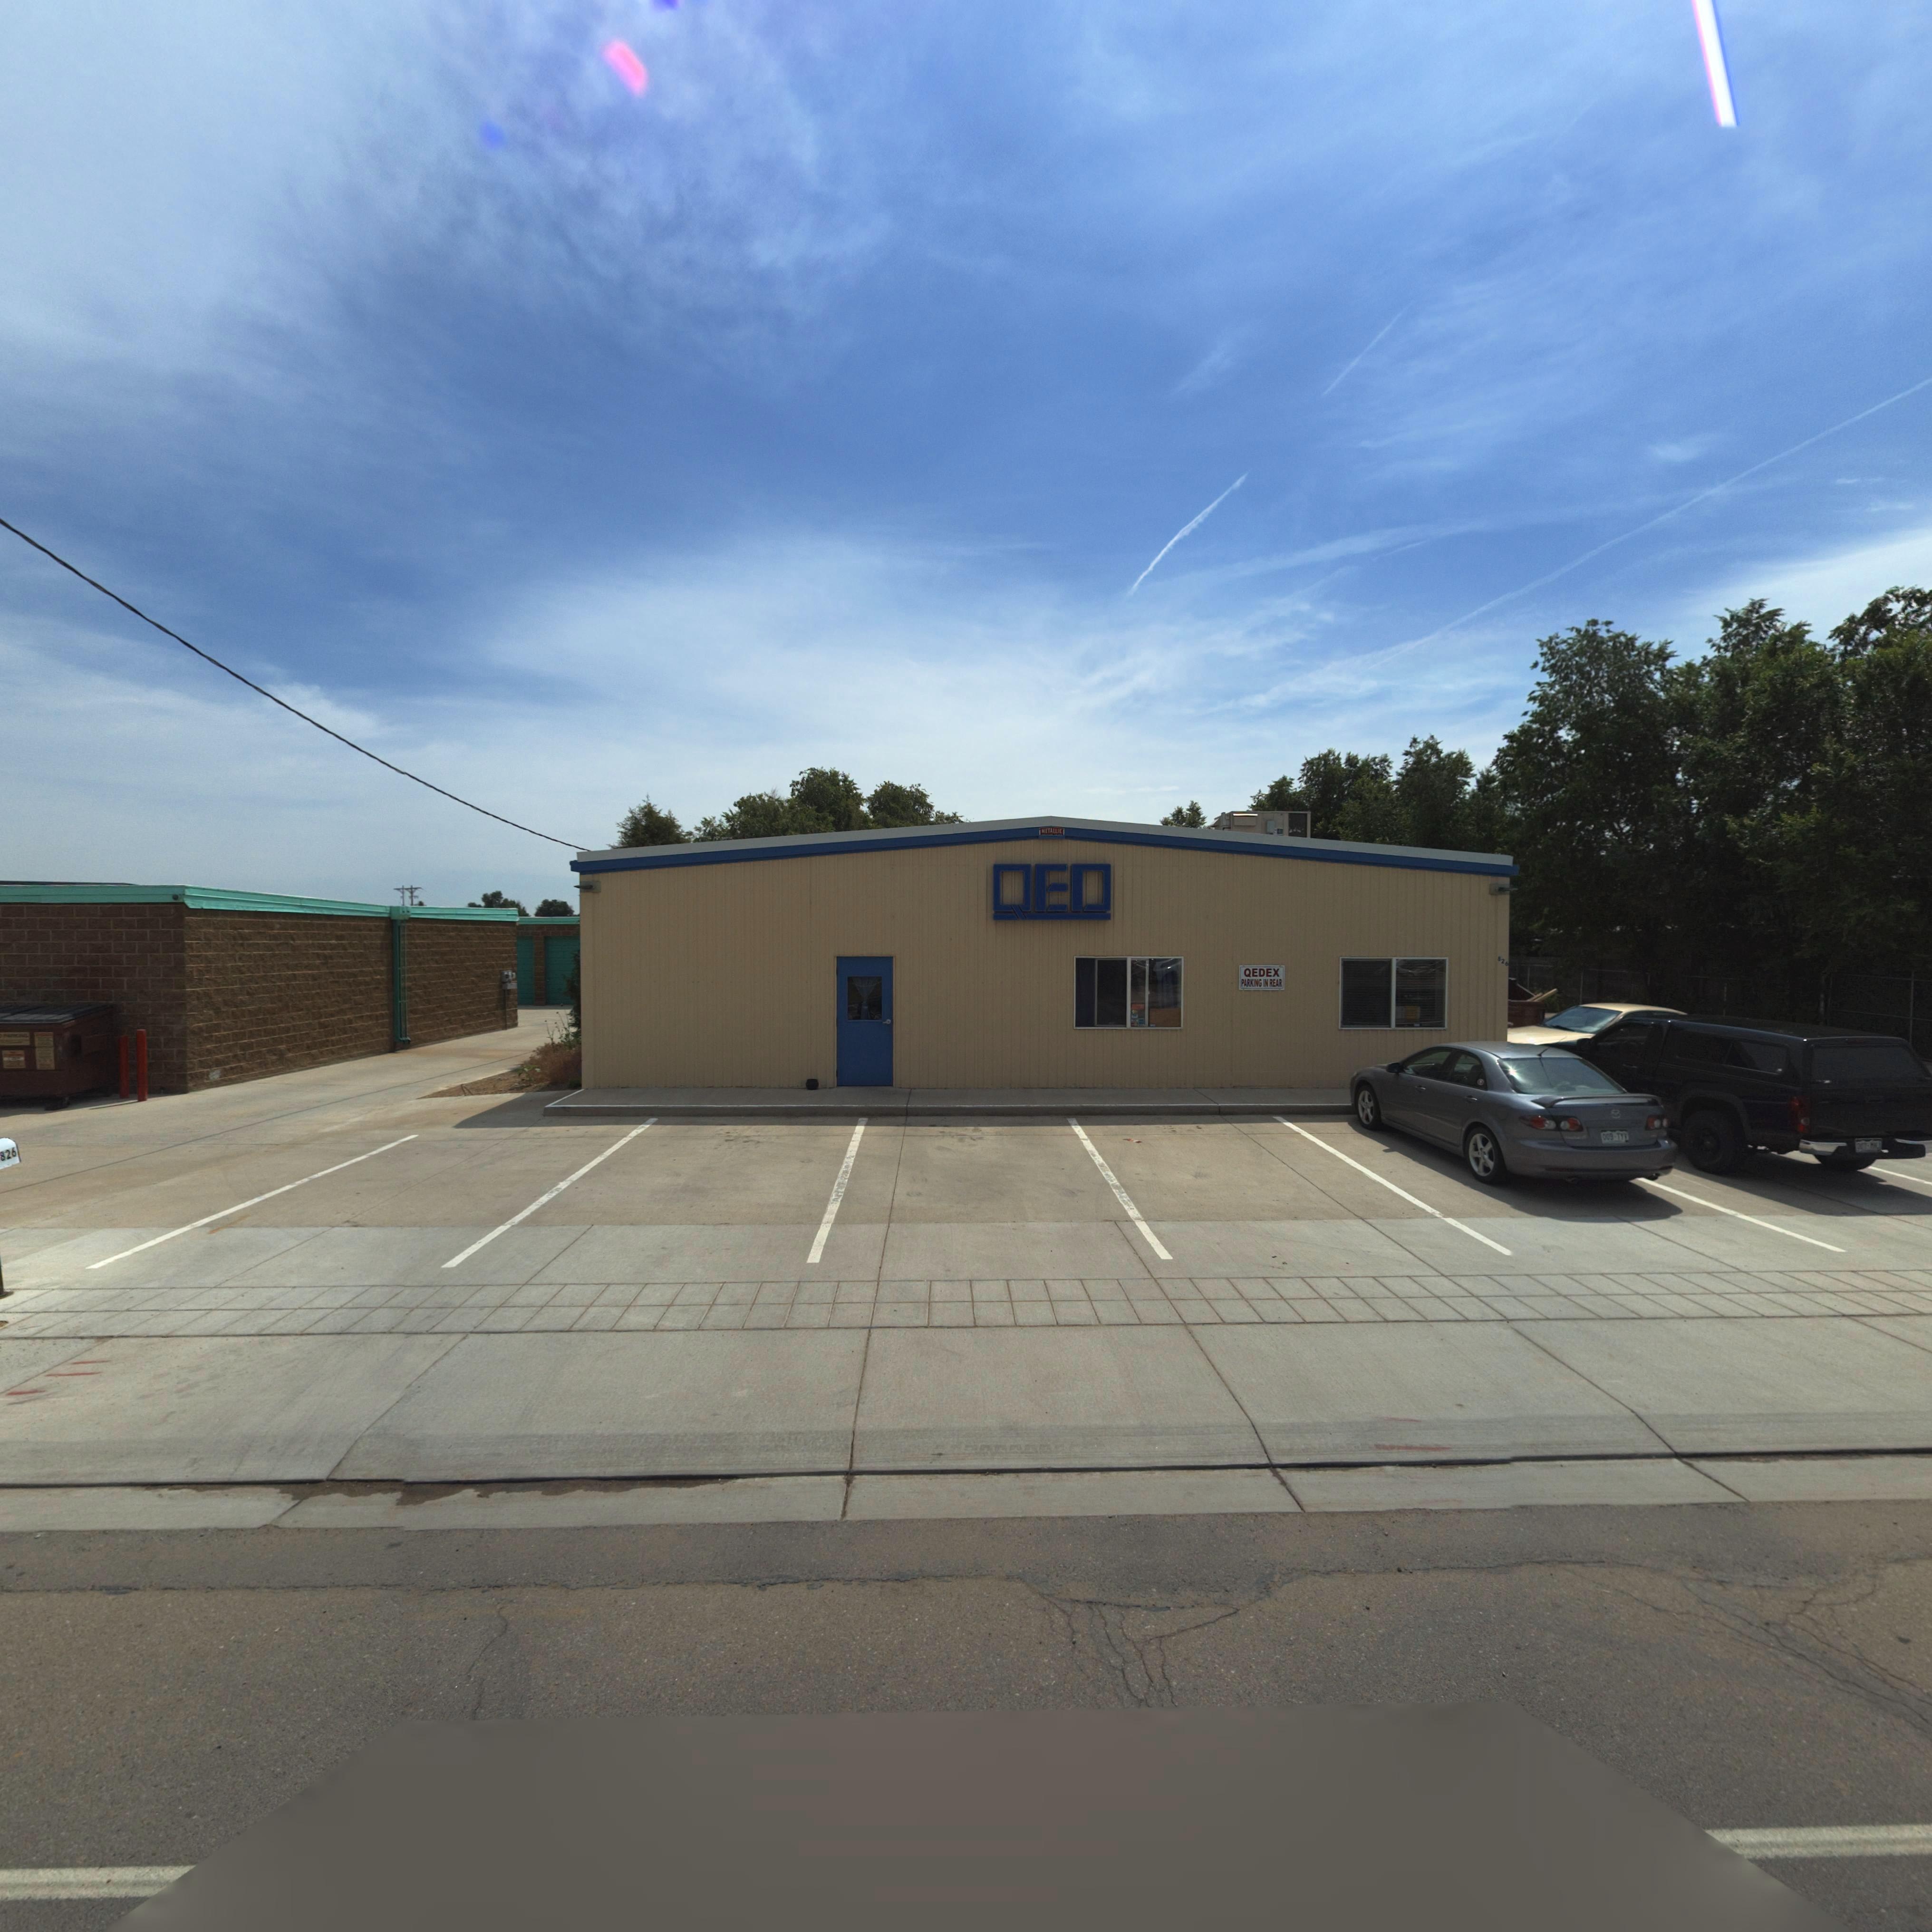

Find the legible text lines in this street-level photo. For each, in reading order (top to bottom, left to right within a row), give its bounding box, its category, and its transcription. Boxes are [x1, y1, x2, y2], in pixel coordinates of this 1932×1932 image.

[993, 863, 1111, 920] BusinessName: QED
[1497, 956, 1509, 966] StreetNumber: 826
[1244, 968, 1280, 978] BusinessName: QEDEX
[0, 1146, 17, 1161] StreetNumber: 826